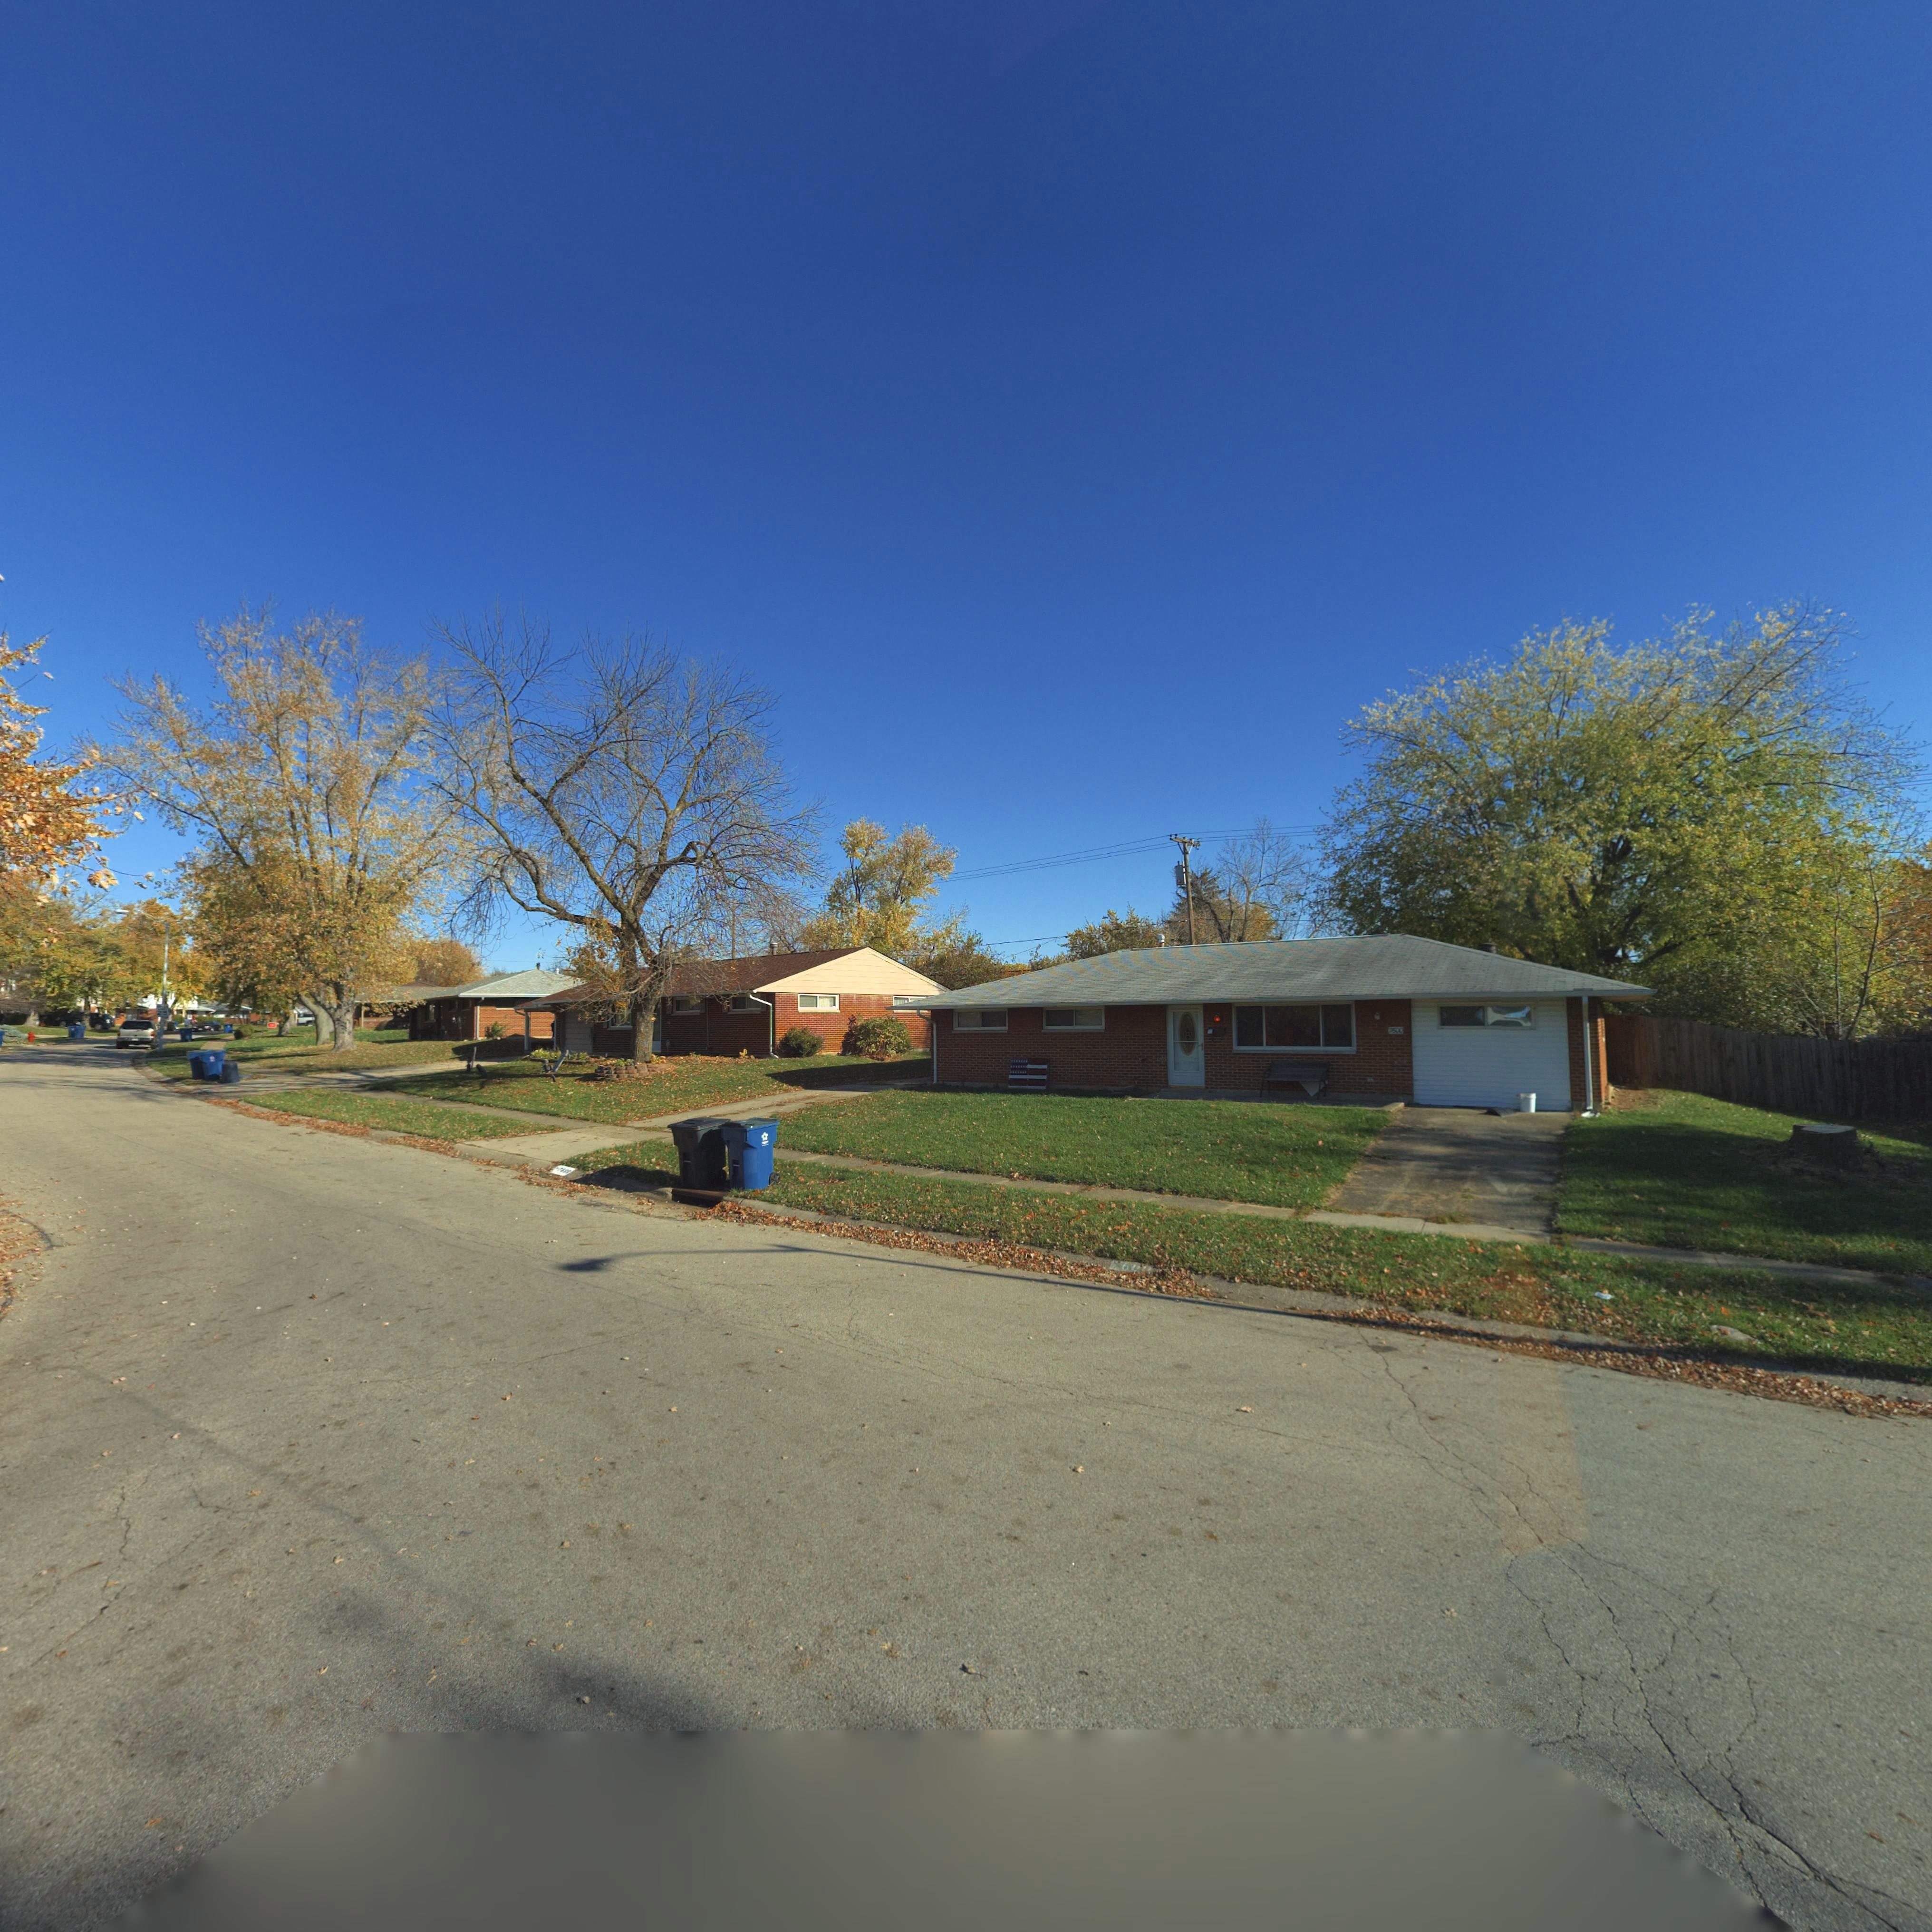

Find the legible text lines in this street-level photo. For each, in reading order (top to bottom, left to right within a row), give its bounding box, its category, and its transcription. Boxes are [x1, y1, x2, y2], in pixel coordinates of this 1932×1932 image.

[1388, 1026, 1404, 1034] StreetNumber: **00
[1111, 1260, 1153, 1275] StreetNumber: *6**